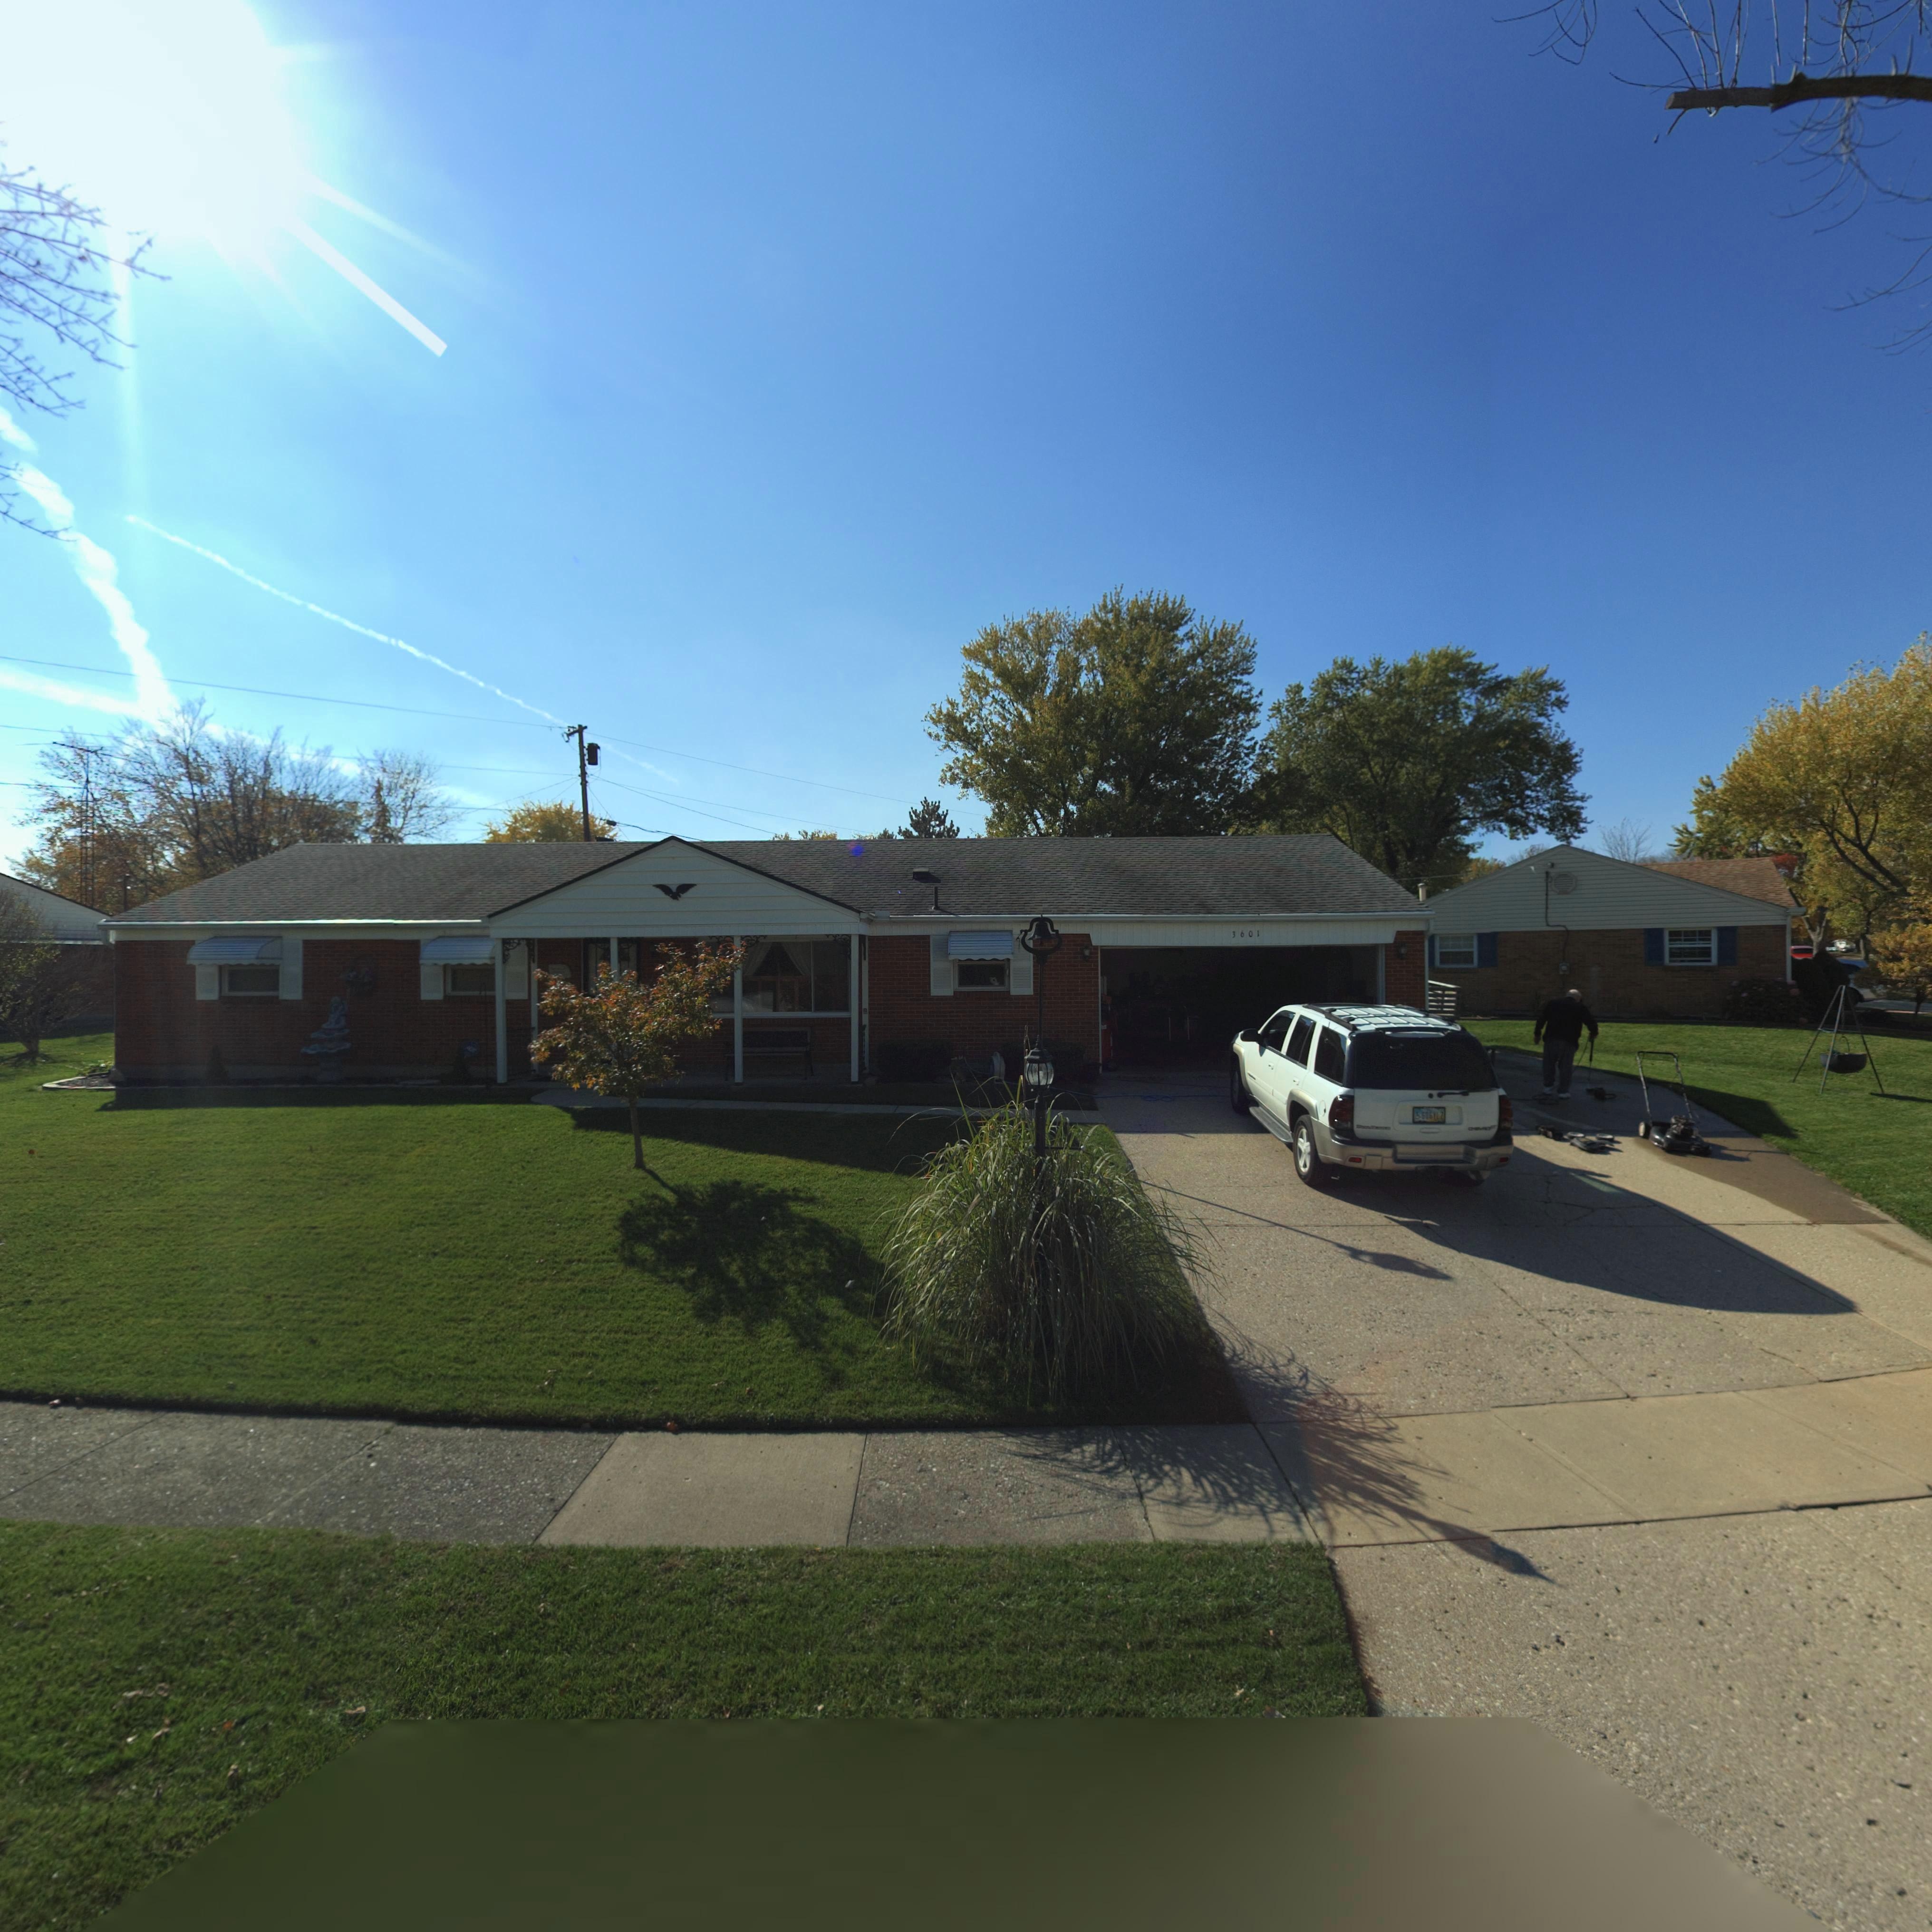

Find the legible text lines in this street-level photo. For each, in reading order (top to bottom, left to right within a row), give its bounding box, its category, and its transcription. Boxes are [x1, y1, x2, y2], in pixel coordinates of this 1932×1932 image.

[1231, 929, 1260, 939] StreetNumber: 3601
[1420, 1110, 1430, 1121] None: 60